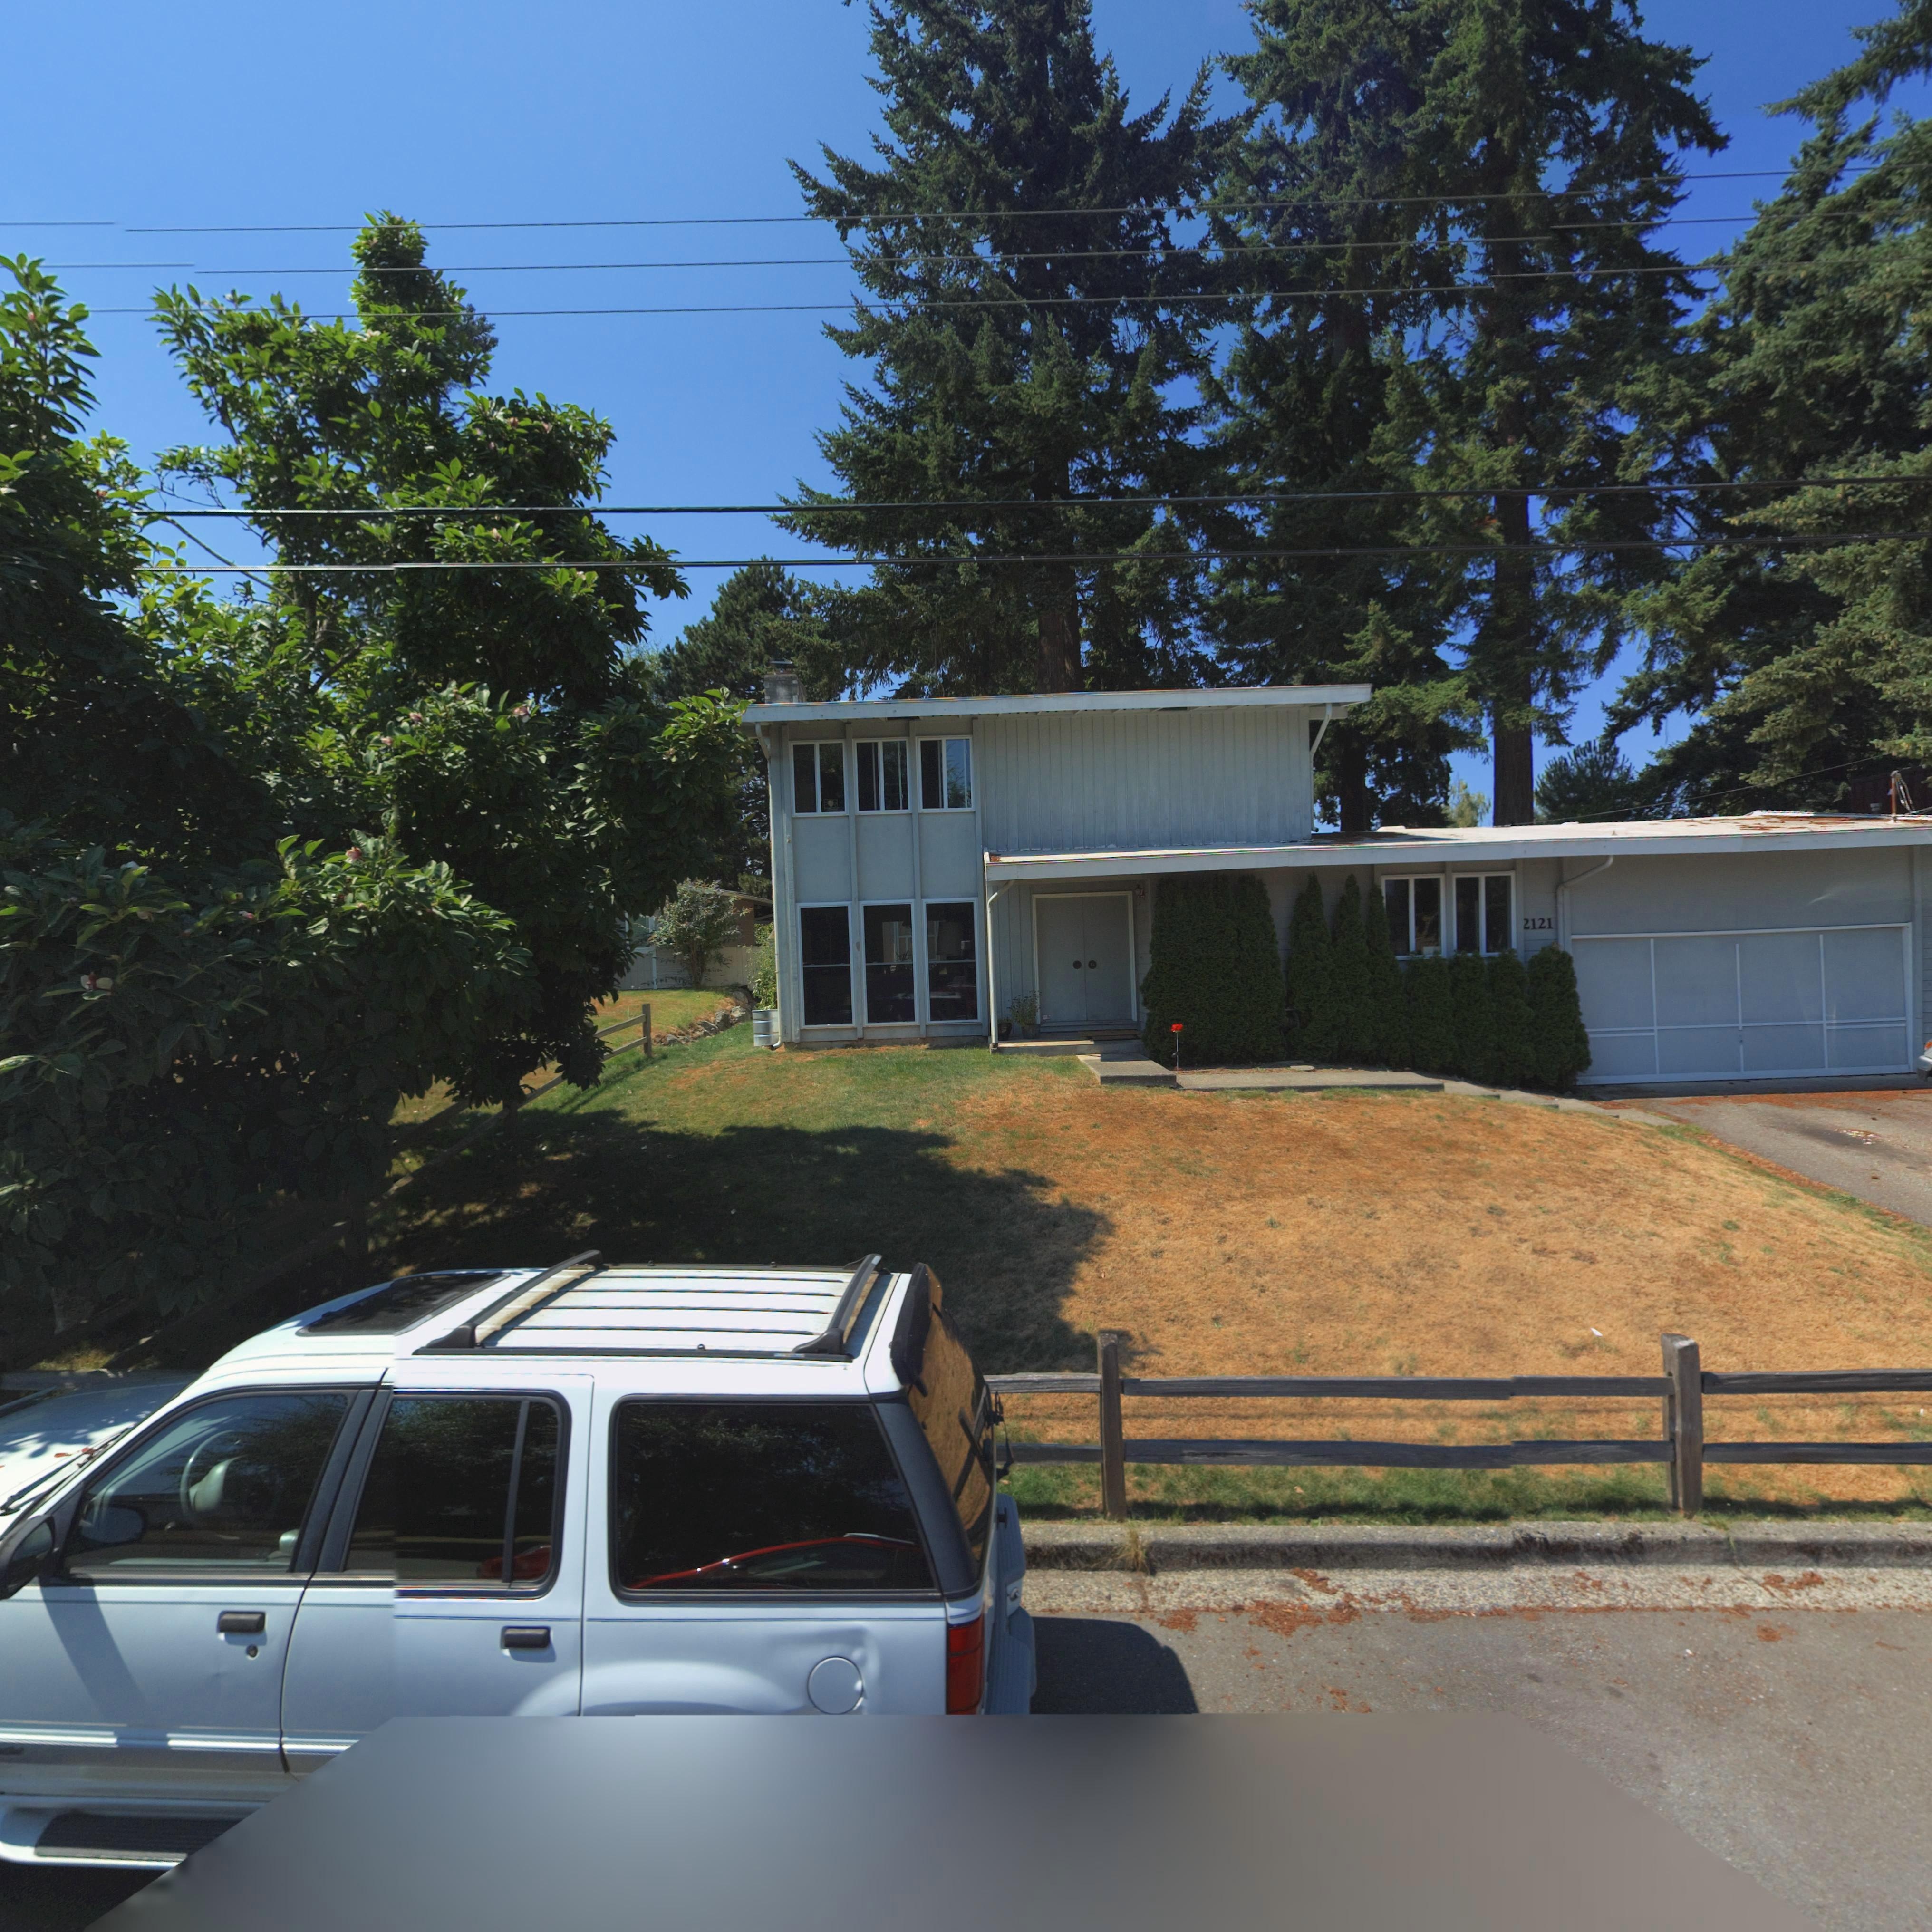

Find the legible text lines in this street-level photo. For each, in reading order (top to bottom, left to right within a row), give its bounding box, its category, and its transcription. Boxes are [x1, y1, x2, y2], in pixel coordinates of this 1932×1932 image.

[1523, 918, 1555, 930] StreetNumber: 2121